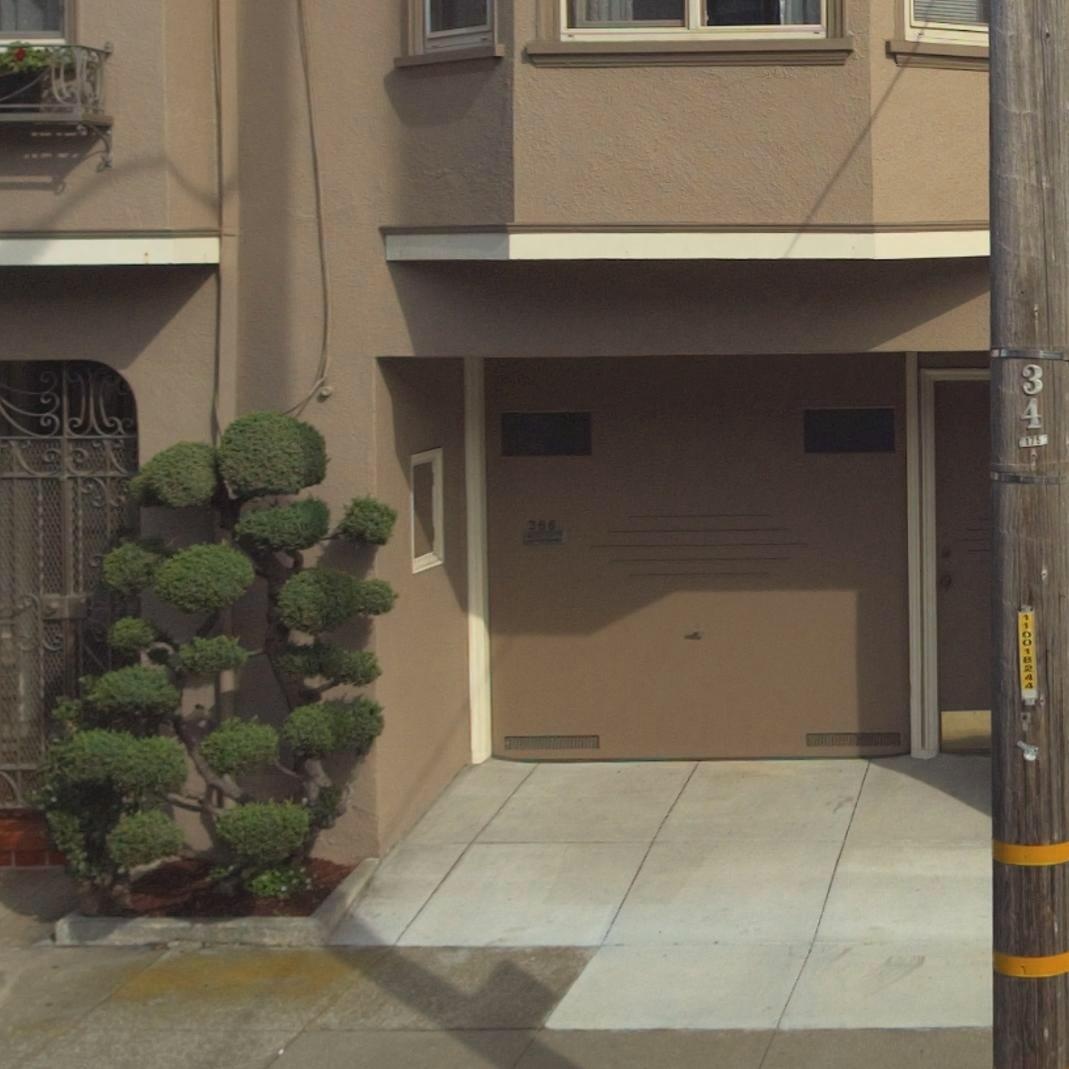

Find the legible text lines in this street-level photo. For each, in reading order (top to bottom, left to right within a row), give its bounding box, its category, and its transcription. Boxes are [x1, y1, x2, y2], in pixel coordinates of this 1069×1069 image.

[1019, 362, 1045, 431] None: 34
[1024, 435, 1042, 447] None: 175
[527, 519, 557, 531] StreetNumber: 366
[1019, 610, 1036, 691] None: 110018-44